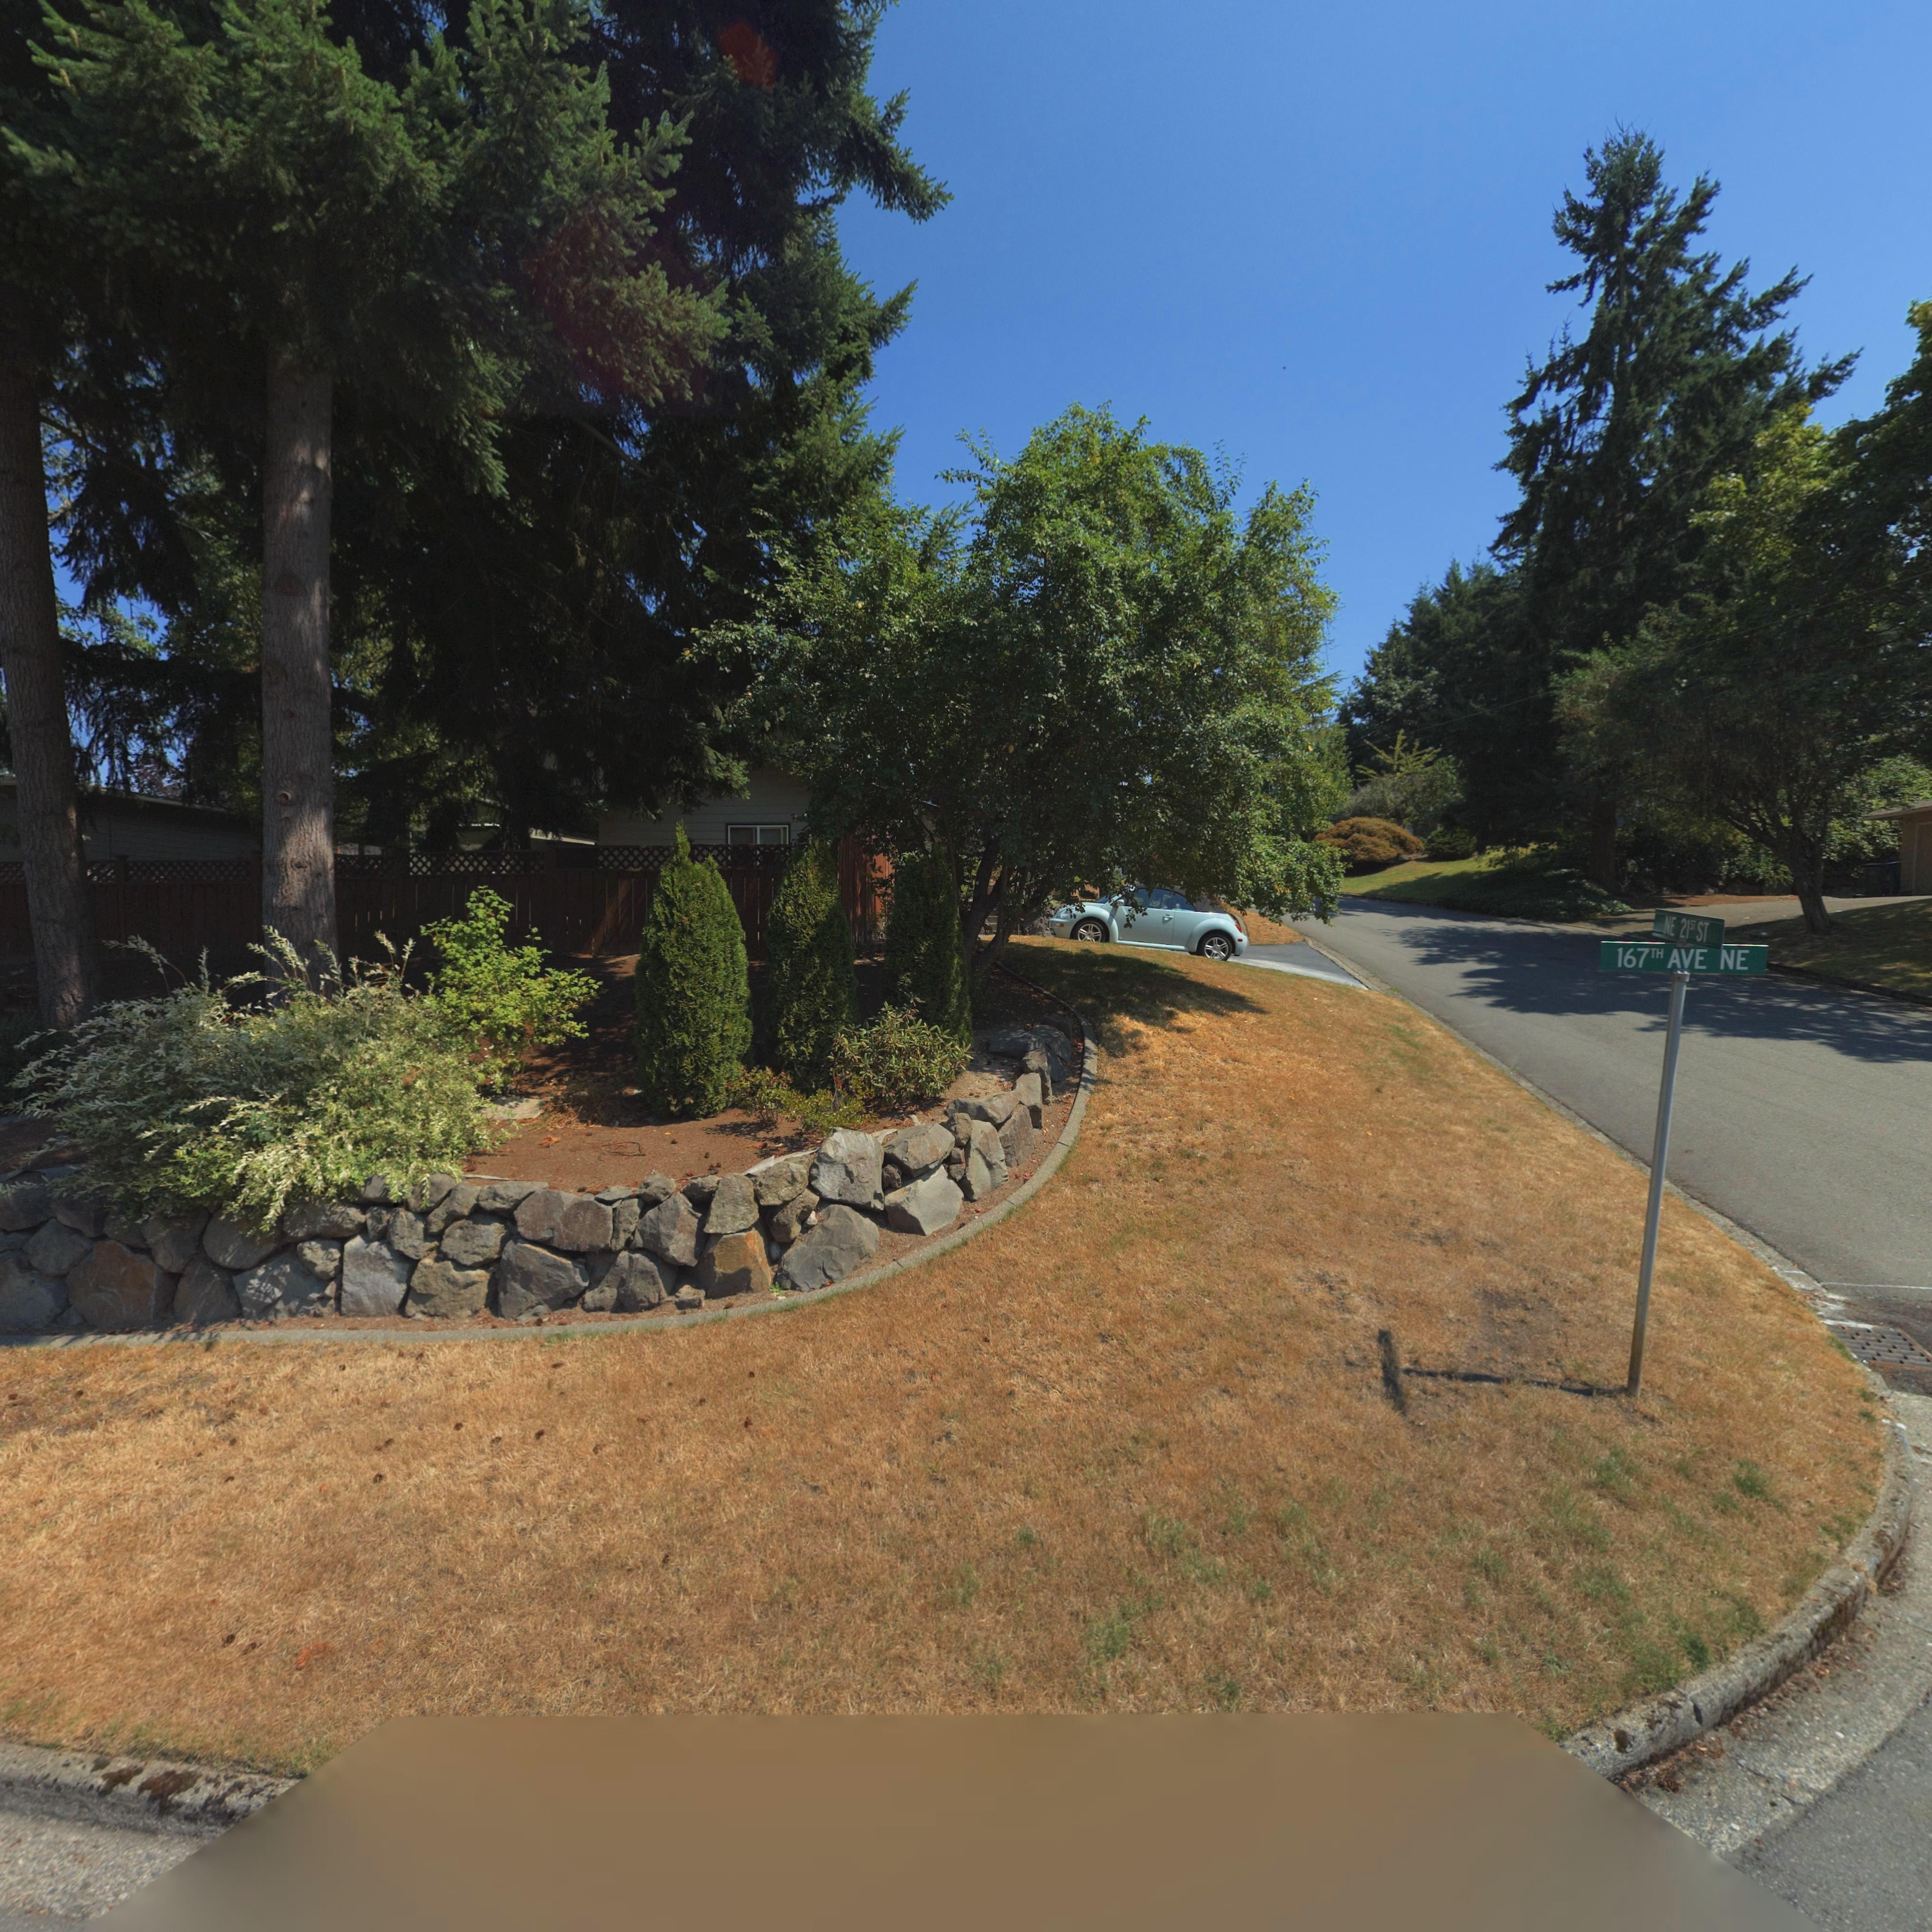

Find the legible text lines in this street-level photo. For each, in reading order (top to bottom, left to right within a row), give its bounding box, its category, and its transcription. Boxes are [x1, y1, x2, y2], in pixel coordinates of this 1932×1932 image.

[1662, 915, 1710, 943] StreetName: NE 21ST St
[1617, 947, 1749, 969] StreetName: 167 AVE NE